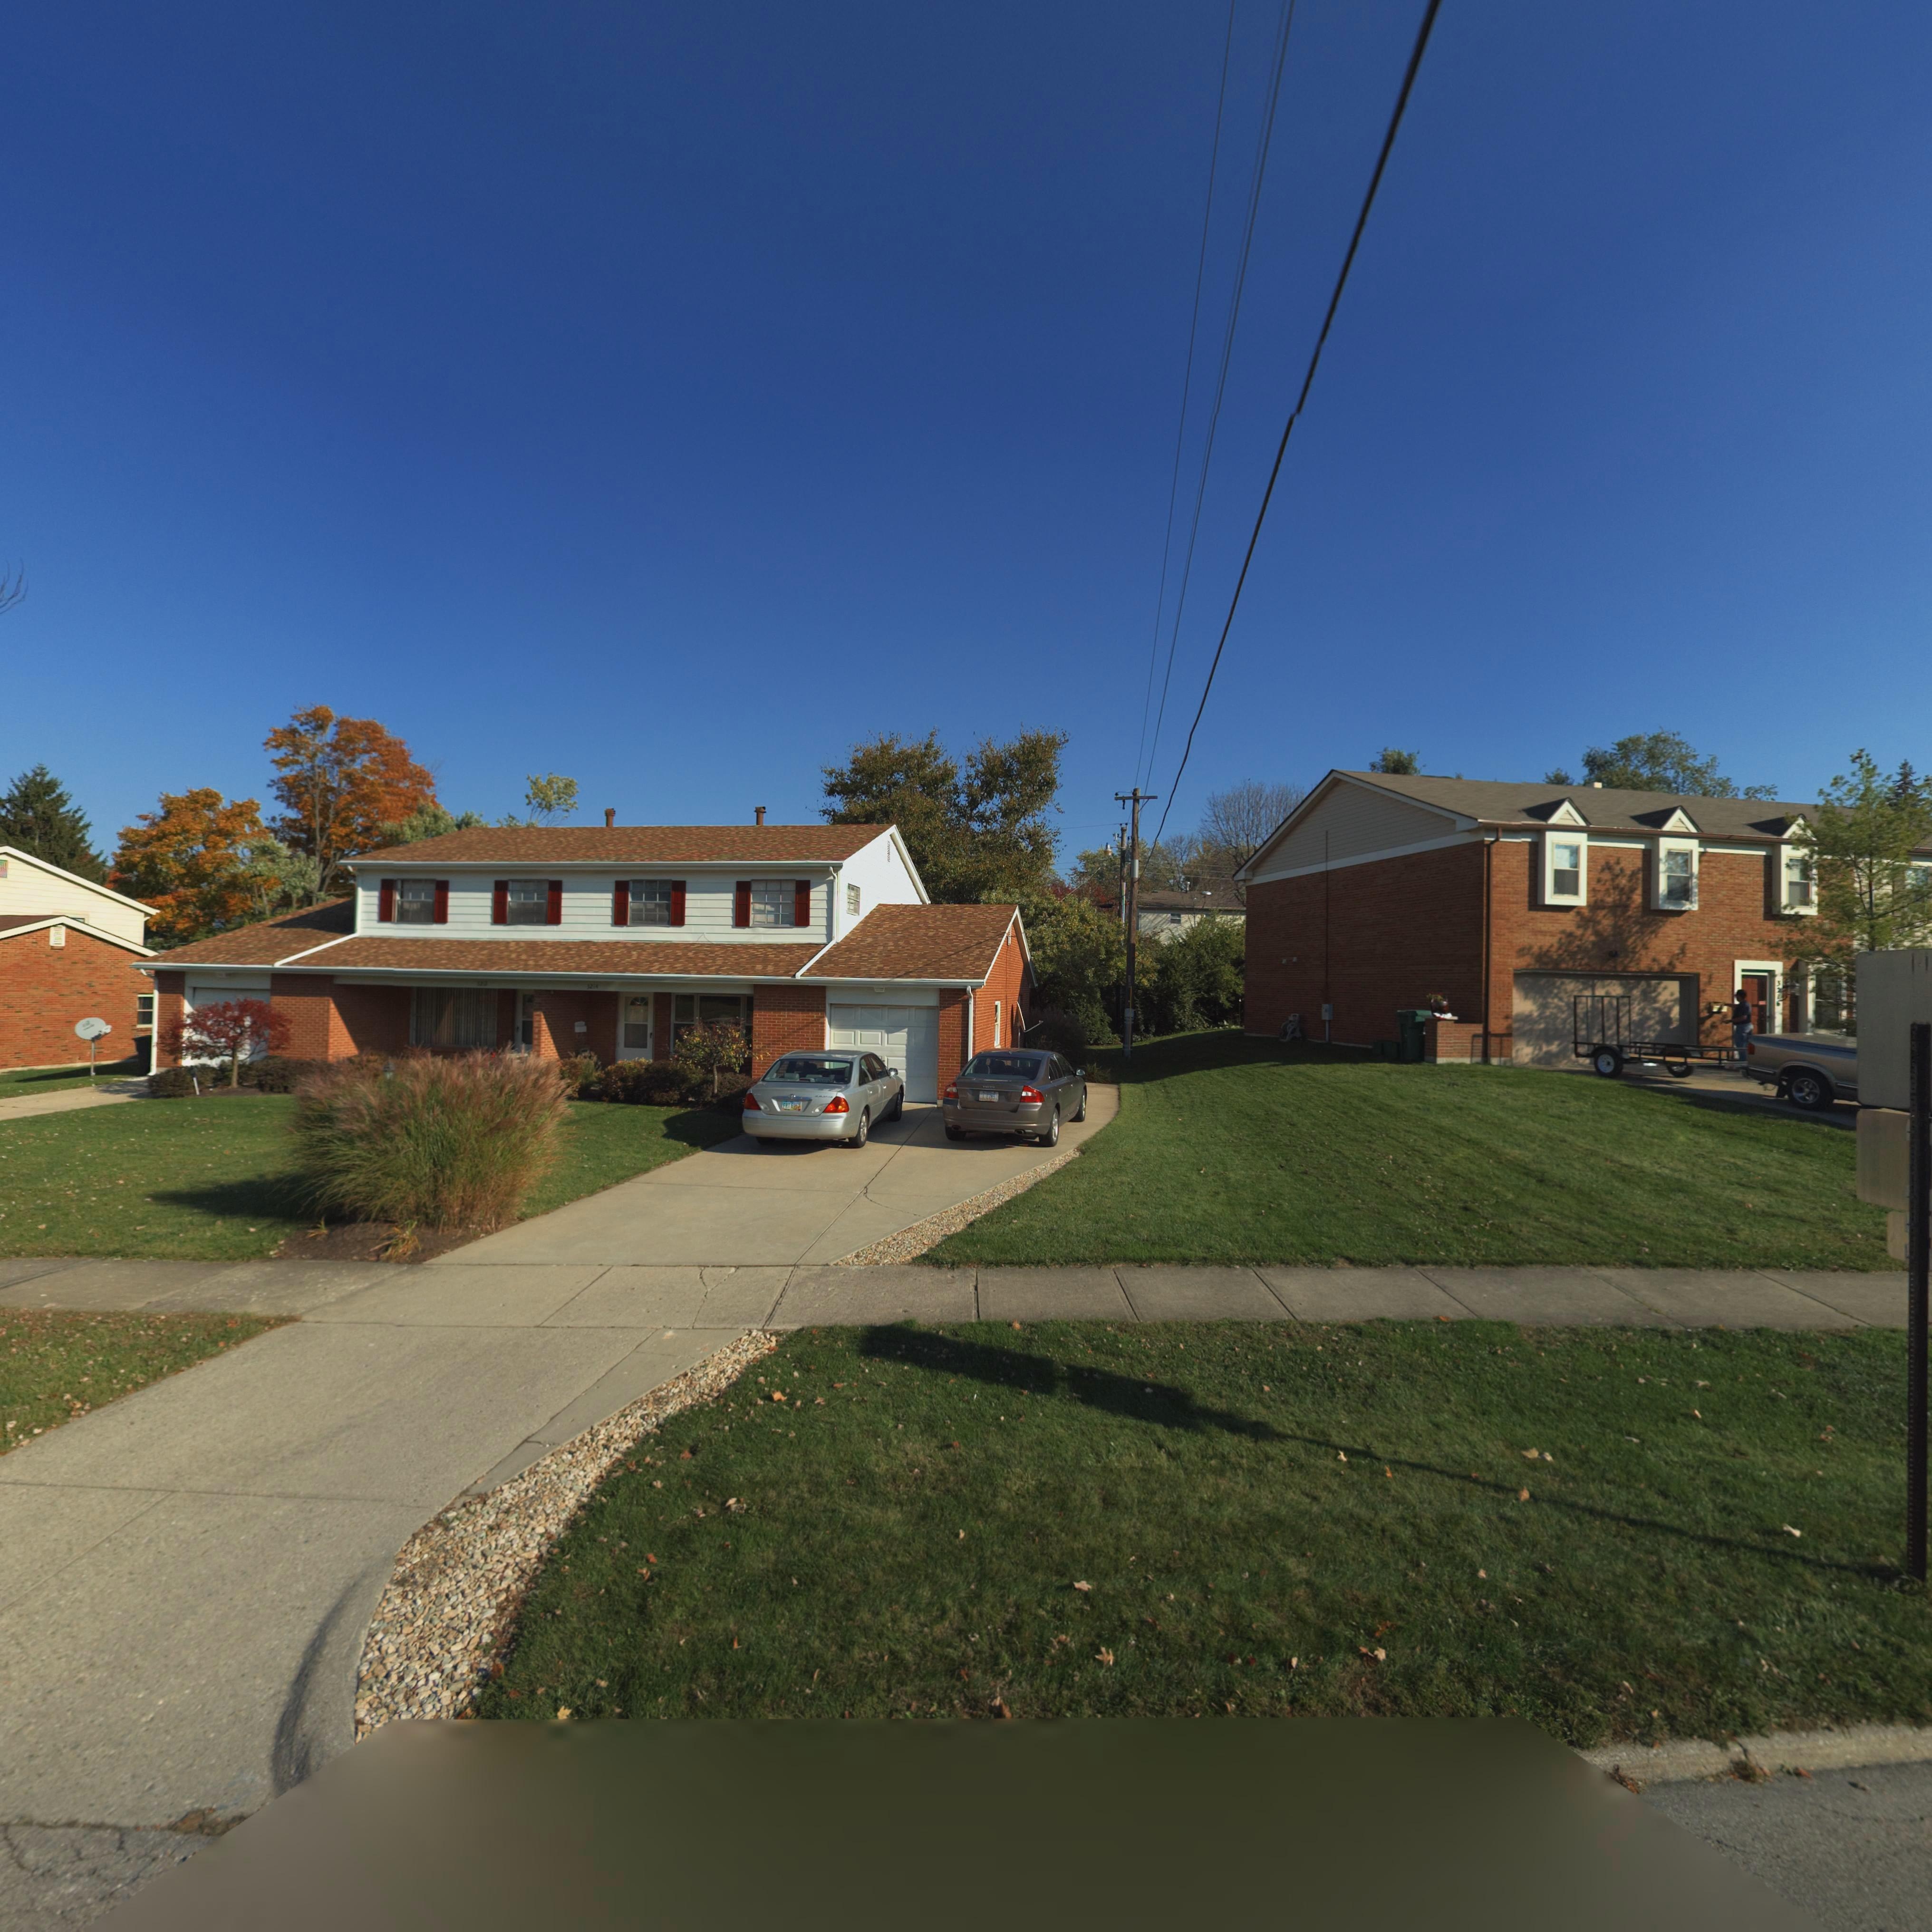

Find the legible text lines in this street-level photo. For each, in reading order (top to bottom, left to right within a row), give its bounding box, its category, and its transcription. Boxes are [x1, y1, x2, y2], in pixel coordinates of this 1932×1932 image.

[475, 980, 487, 986] StreetNumber: 3212
[587, 983, 599, 990] StreetNumber: 3214